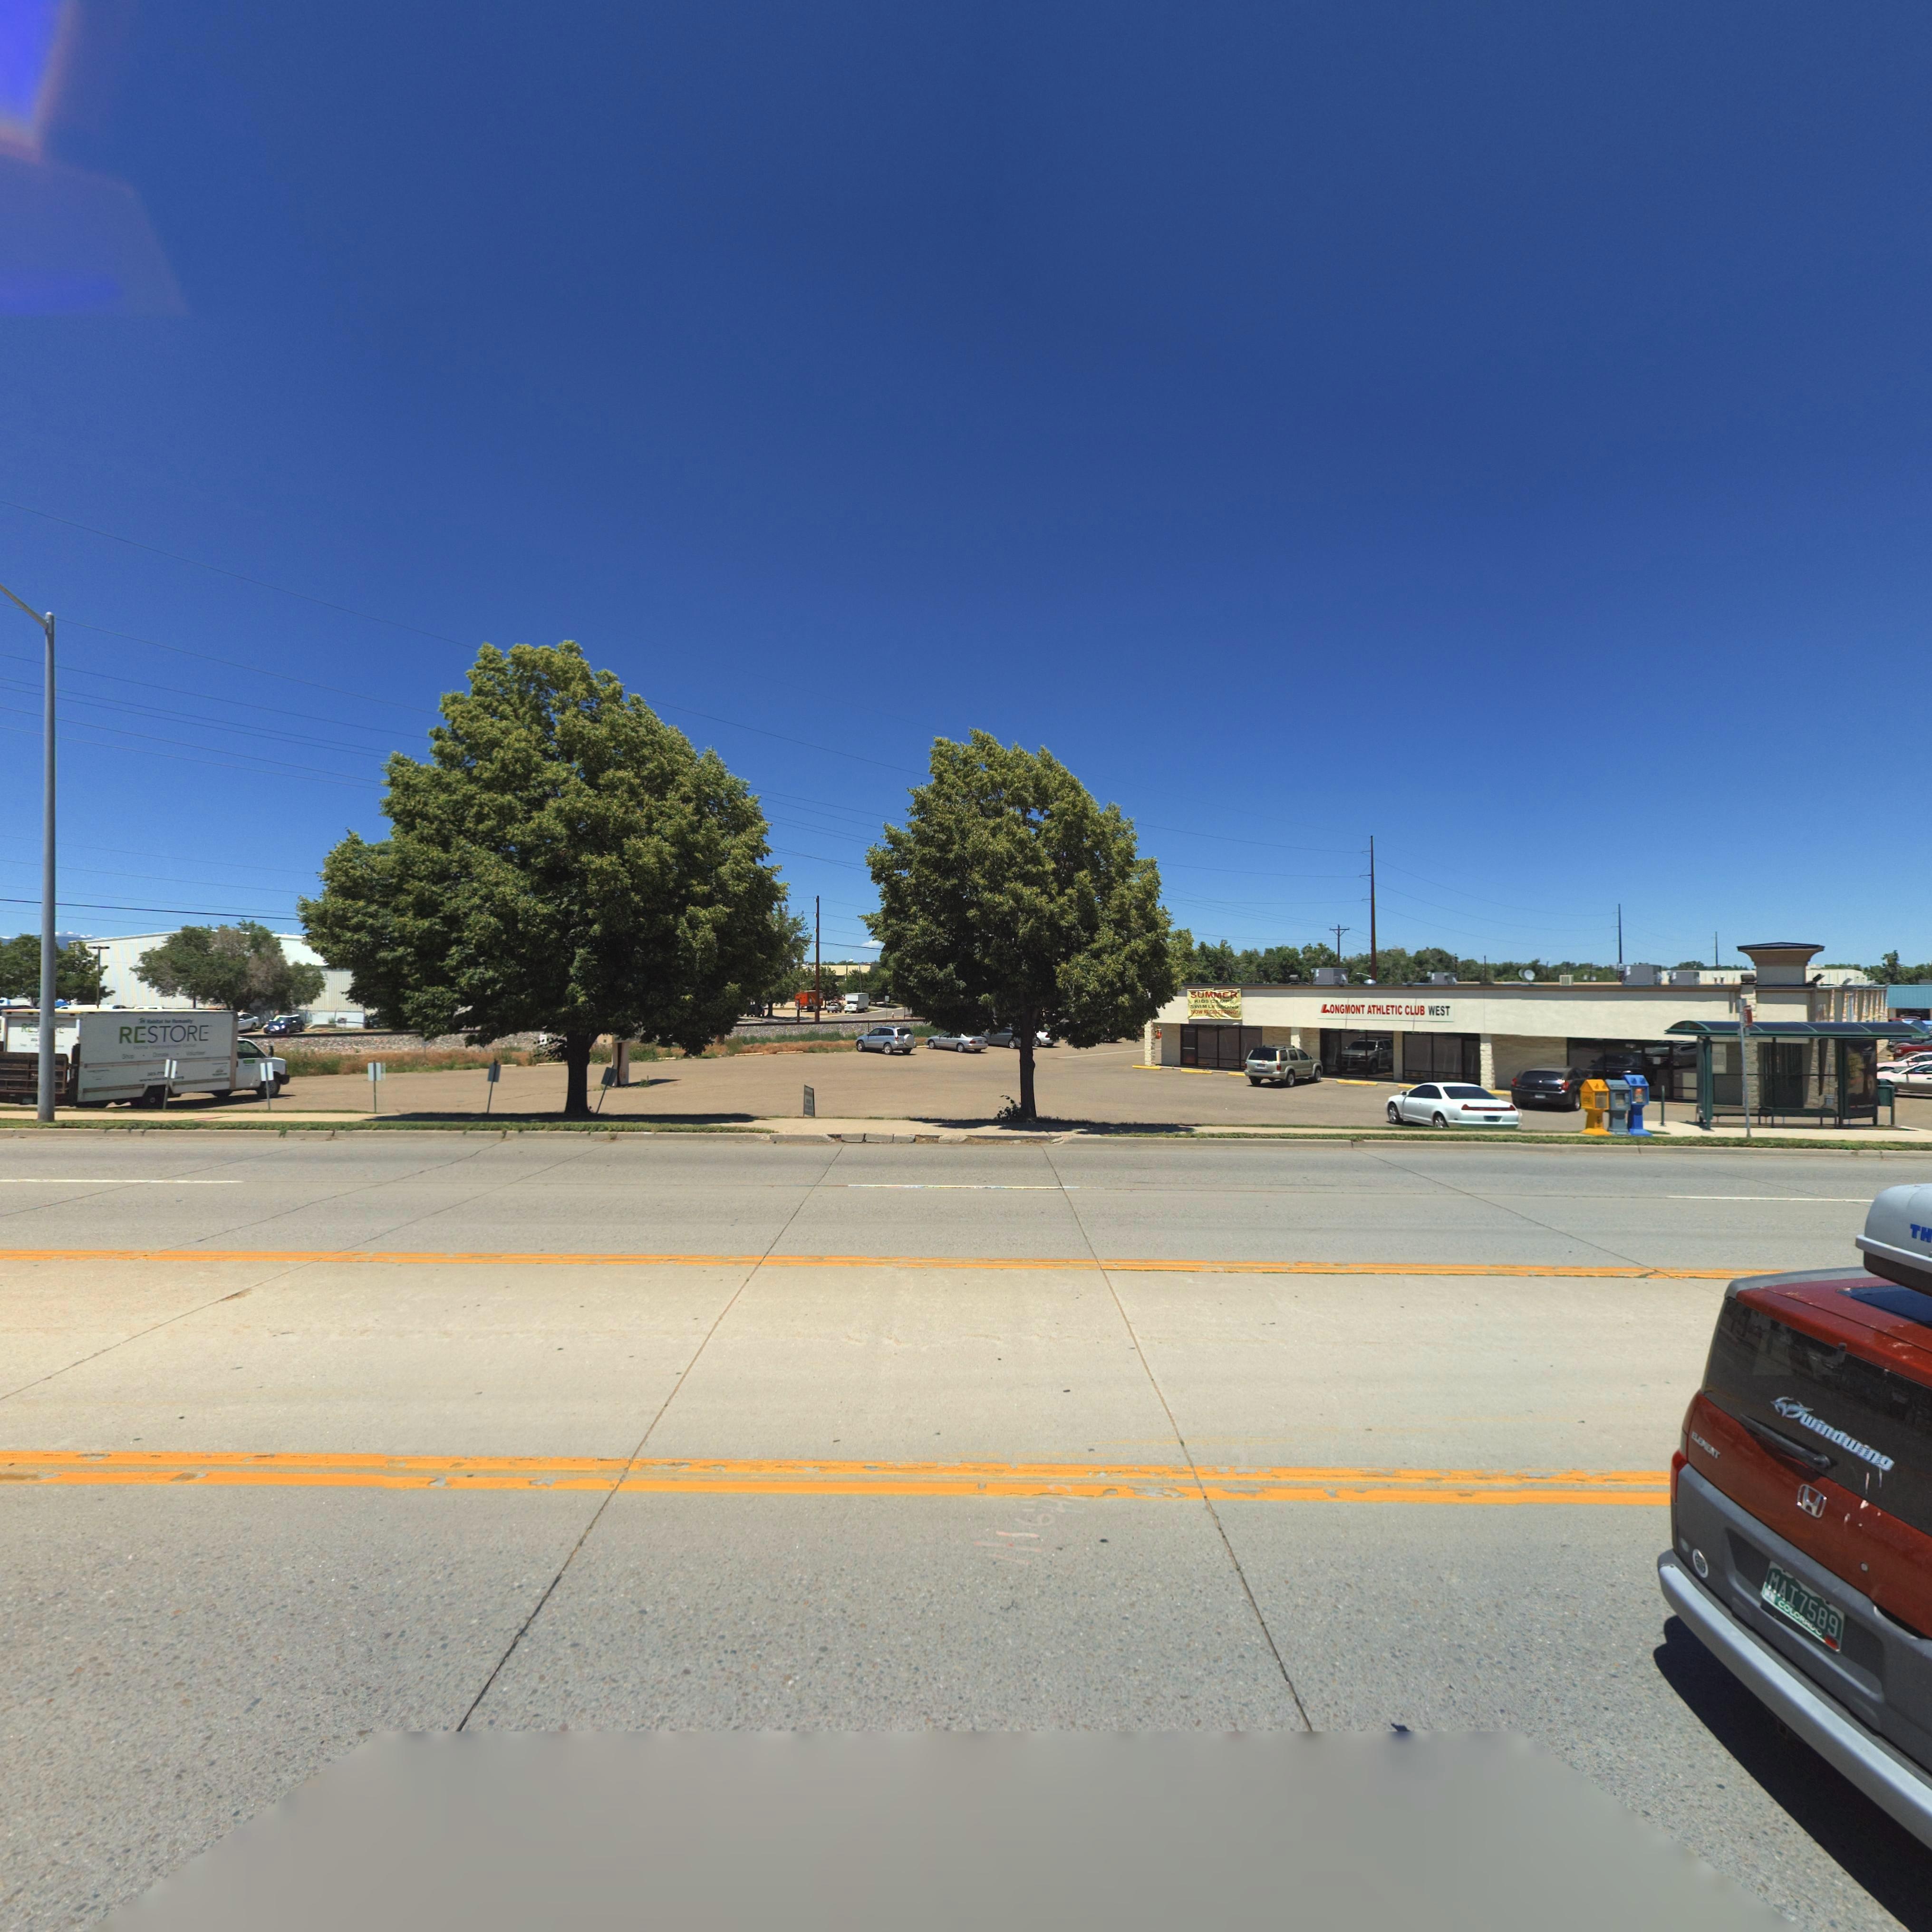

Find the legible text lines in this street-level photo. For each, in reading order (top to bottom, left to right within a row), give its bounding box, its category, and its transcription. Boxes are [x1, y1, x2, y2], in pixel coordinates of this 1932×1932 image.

[1320, 1003, 1451, 1016] BusinessName: LONGMONT ATHLETIC CLUB WEST